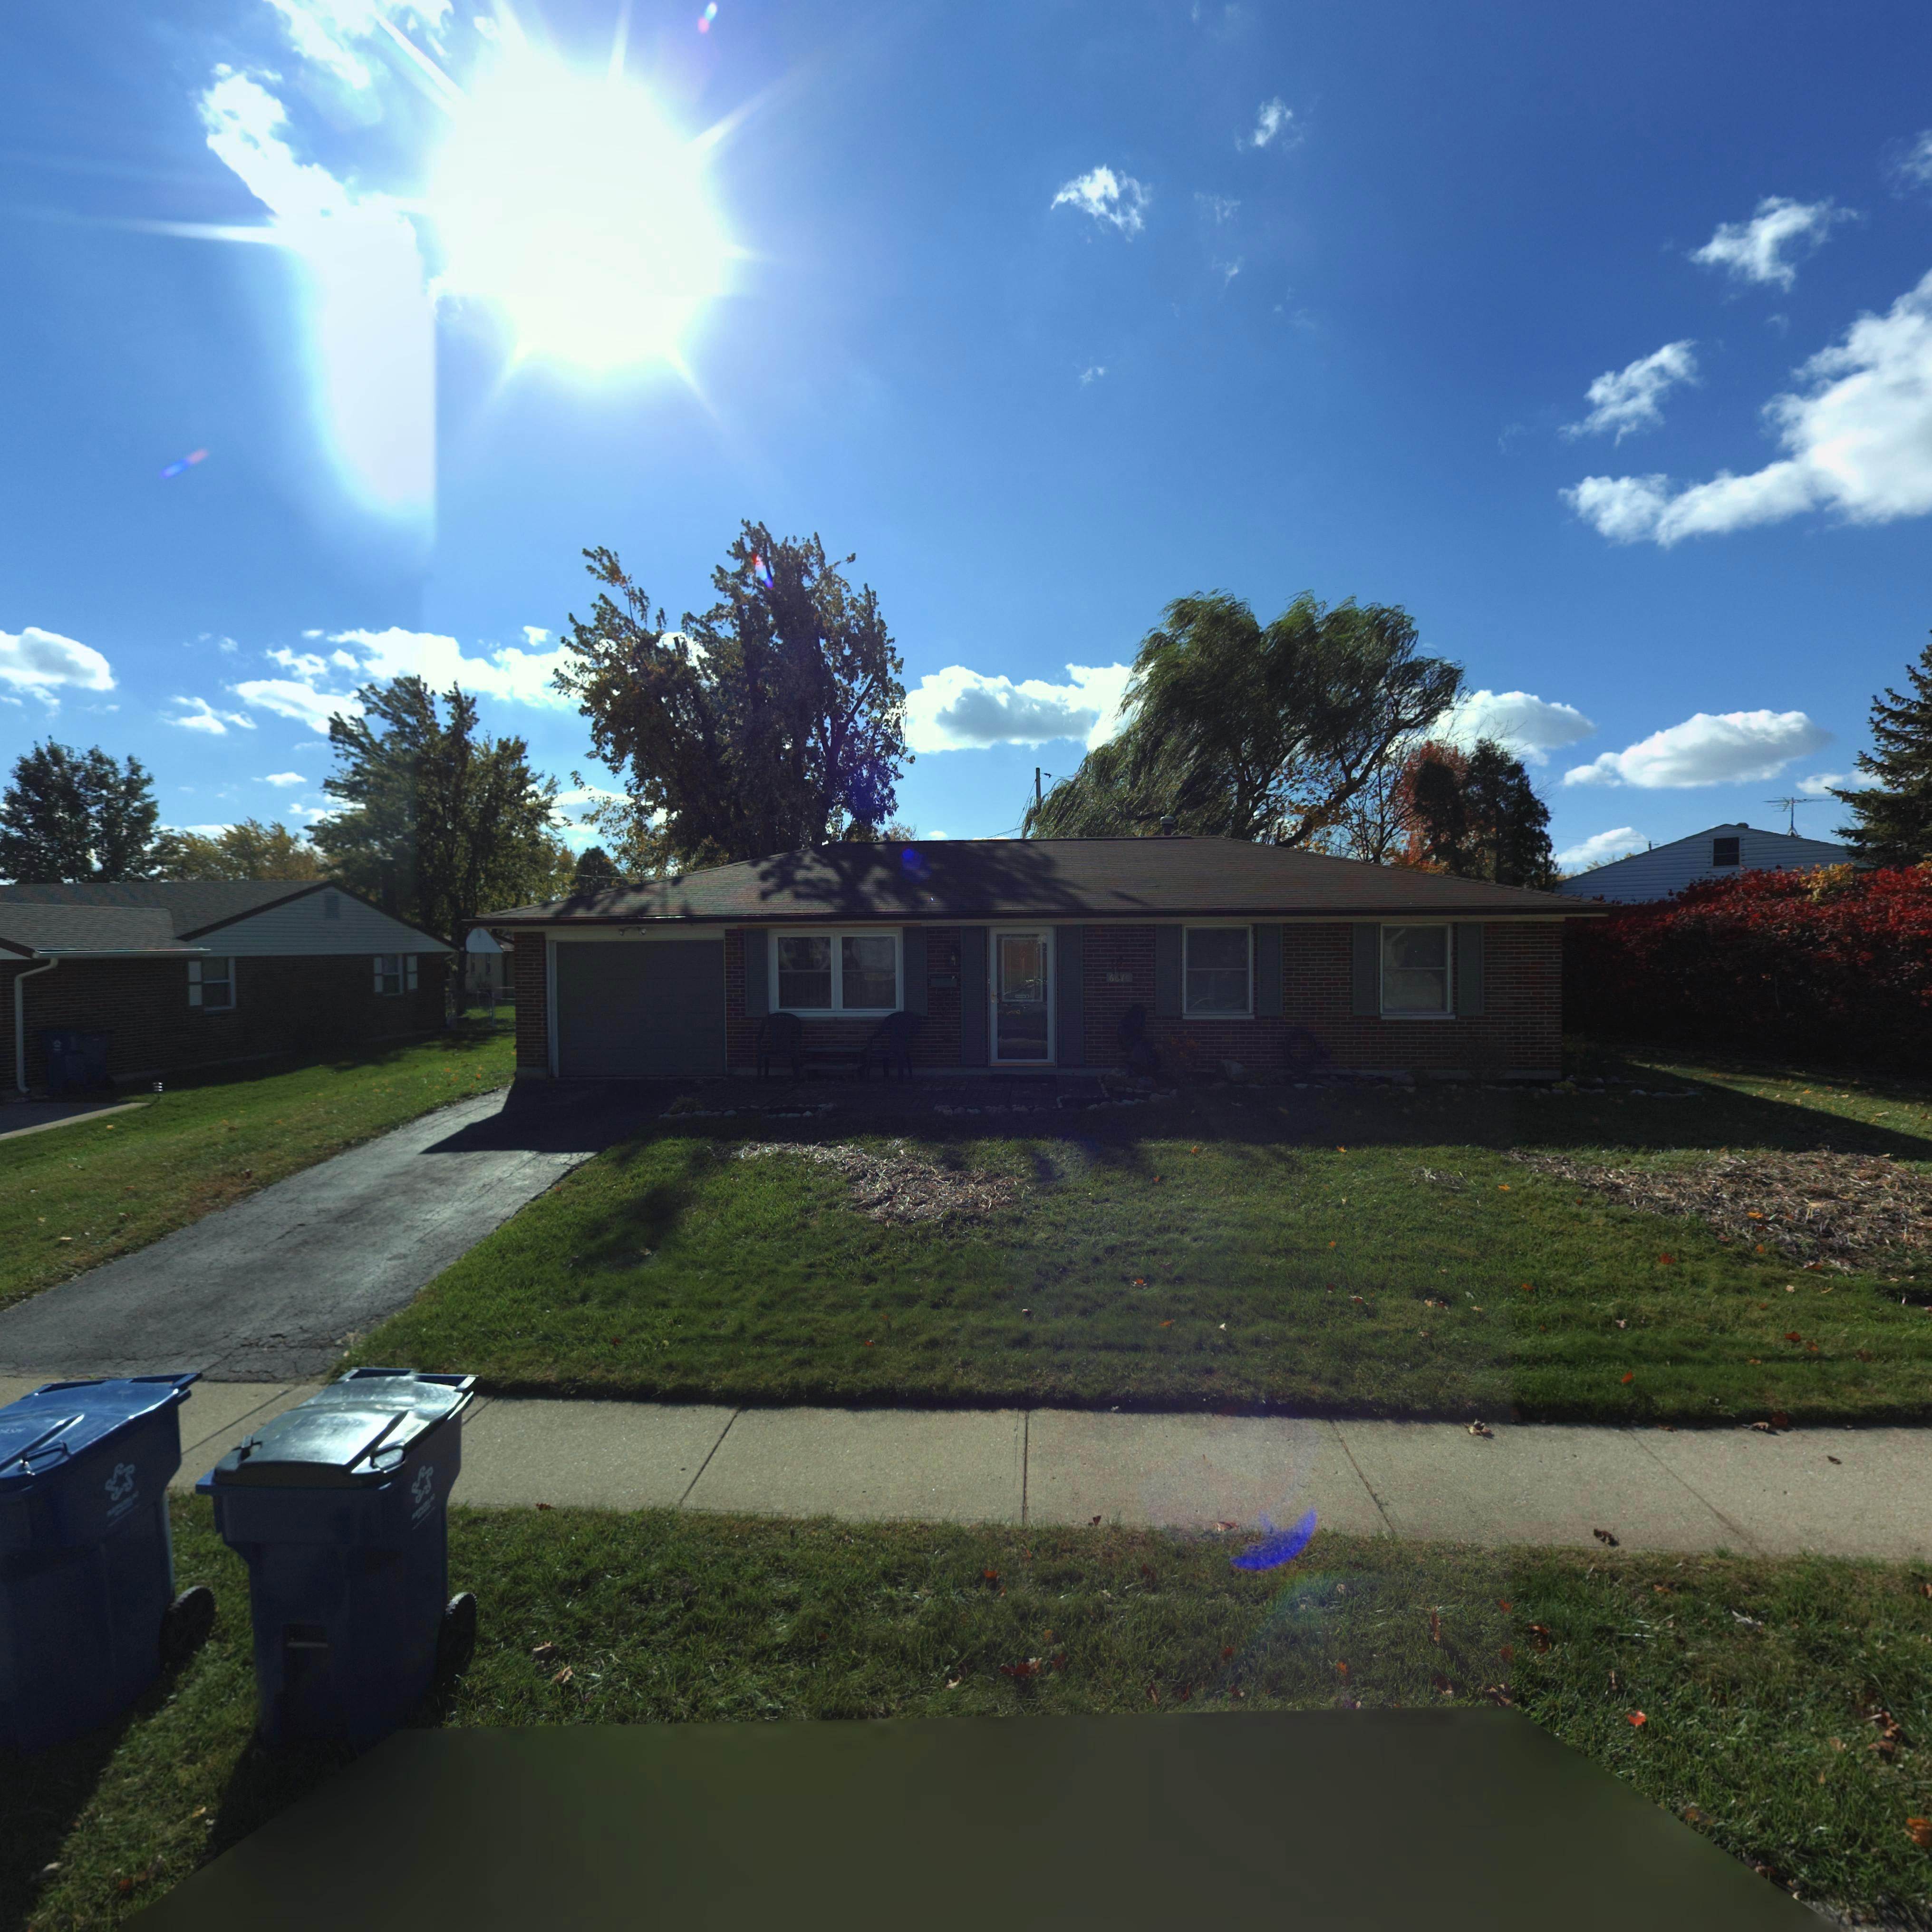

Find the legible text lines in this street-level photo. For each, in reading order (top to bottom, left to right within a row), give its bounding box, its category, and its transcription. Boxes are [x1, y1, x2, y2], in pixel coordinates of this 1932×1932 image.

[1108, 973, 1131, 982] StreetNumber: 6670